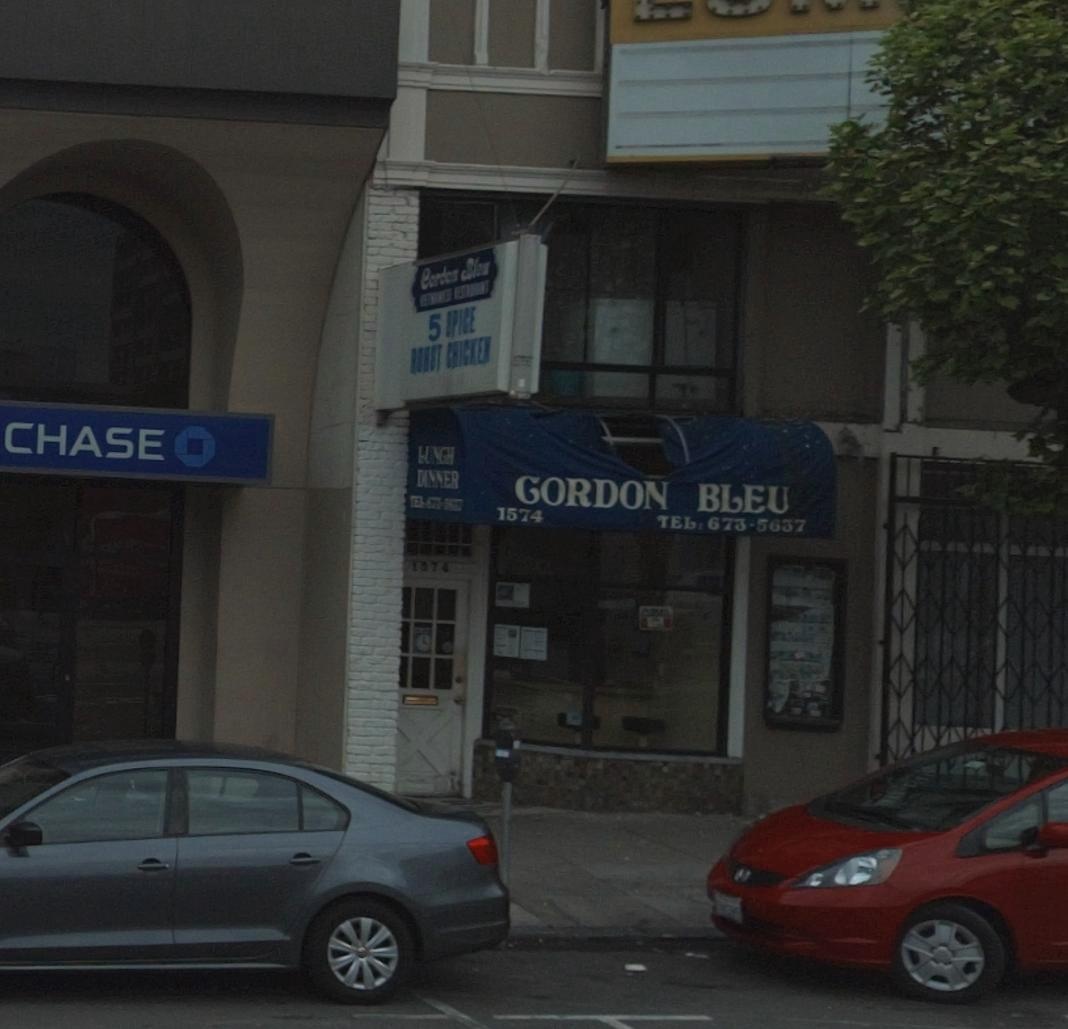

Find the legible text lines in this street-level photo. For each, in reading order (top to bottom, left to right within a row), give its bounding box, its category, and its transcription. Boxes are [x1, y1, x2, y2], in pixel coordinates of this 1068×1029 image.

[428, 254, 493, 292] BusinessName: orde* Bleu
[425, 303, 480, 344] None: 5 SPICE
[406, 333, 495, 379] None: RO*ST CHICKEN
[1, 418, 171, 466] BusinessName: CHASE
[416, 444, 458, 469] None: LUNCH
[414, 467, 462, 492] None: DINNER
[412, 494, 422, 509] None: E
[510, 472, 791, 517] BusinessName: GORDON BLEU
[495, 503, 547, 527] StreetNumber: 1574
[654, 512, 812, 537] None: TEL: 673-5637
[410, 558, 451, 575] StreetNumber: 1374